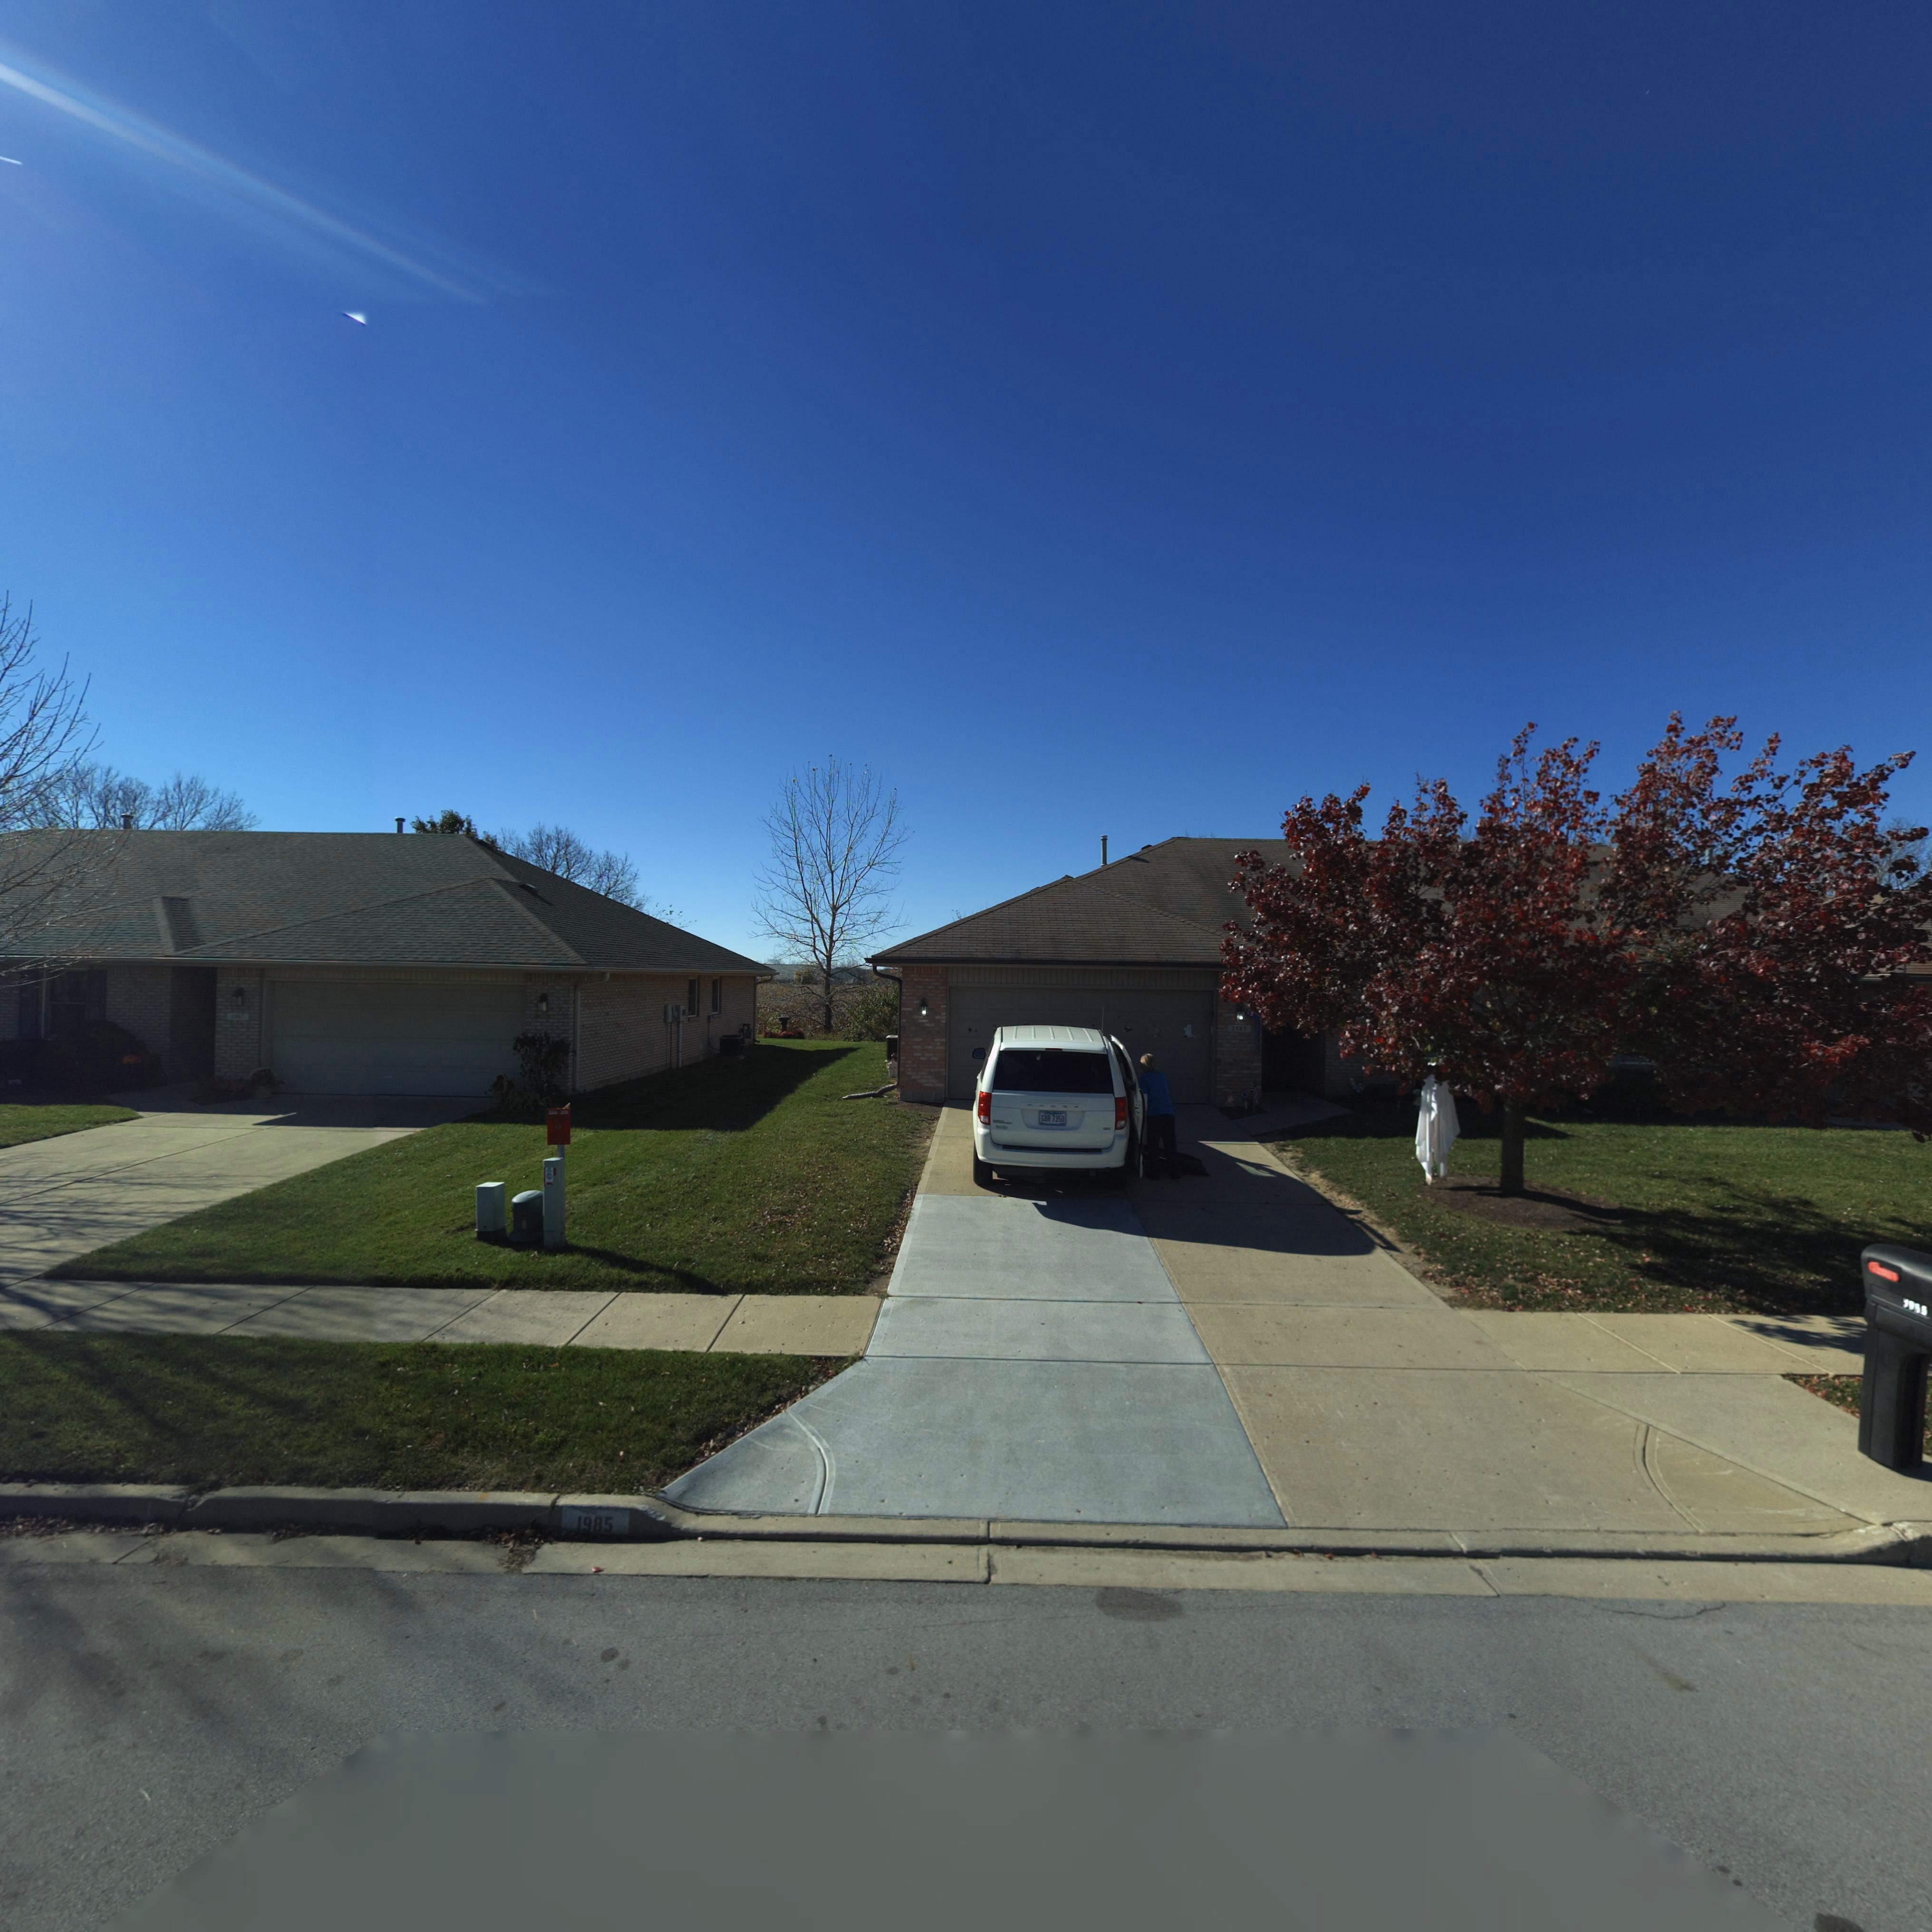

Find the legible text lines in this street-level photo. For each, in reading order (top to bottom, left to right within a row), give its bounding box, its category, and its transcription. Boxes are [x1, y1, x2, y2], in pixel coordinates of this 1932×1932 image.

[1232, 1025, 1248, 1032] StreetNumber: 1985
[576, 1514, 615, 1535] StreetNumber: 1985